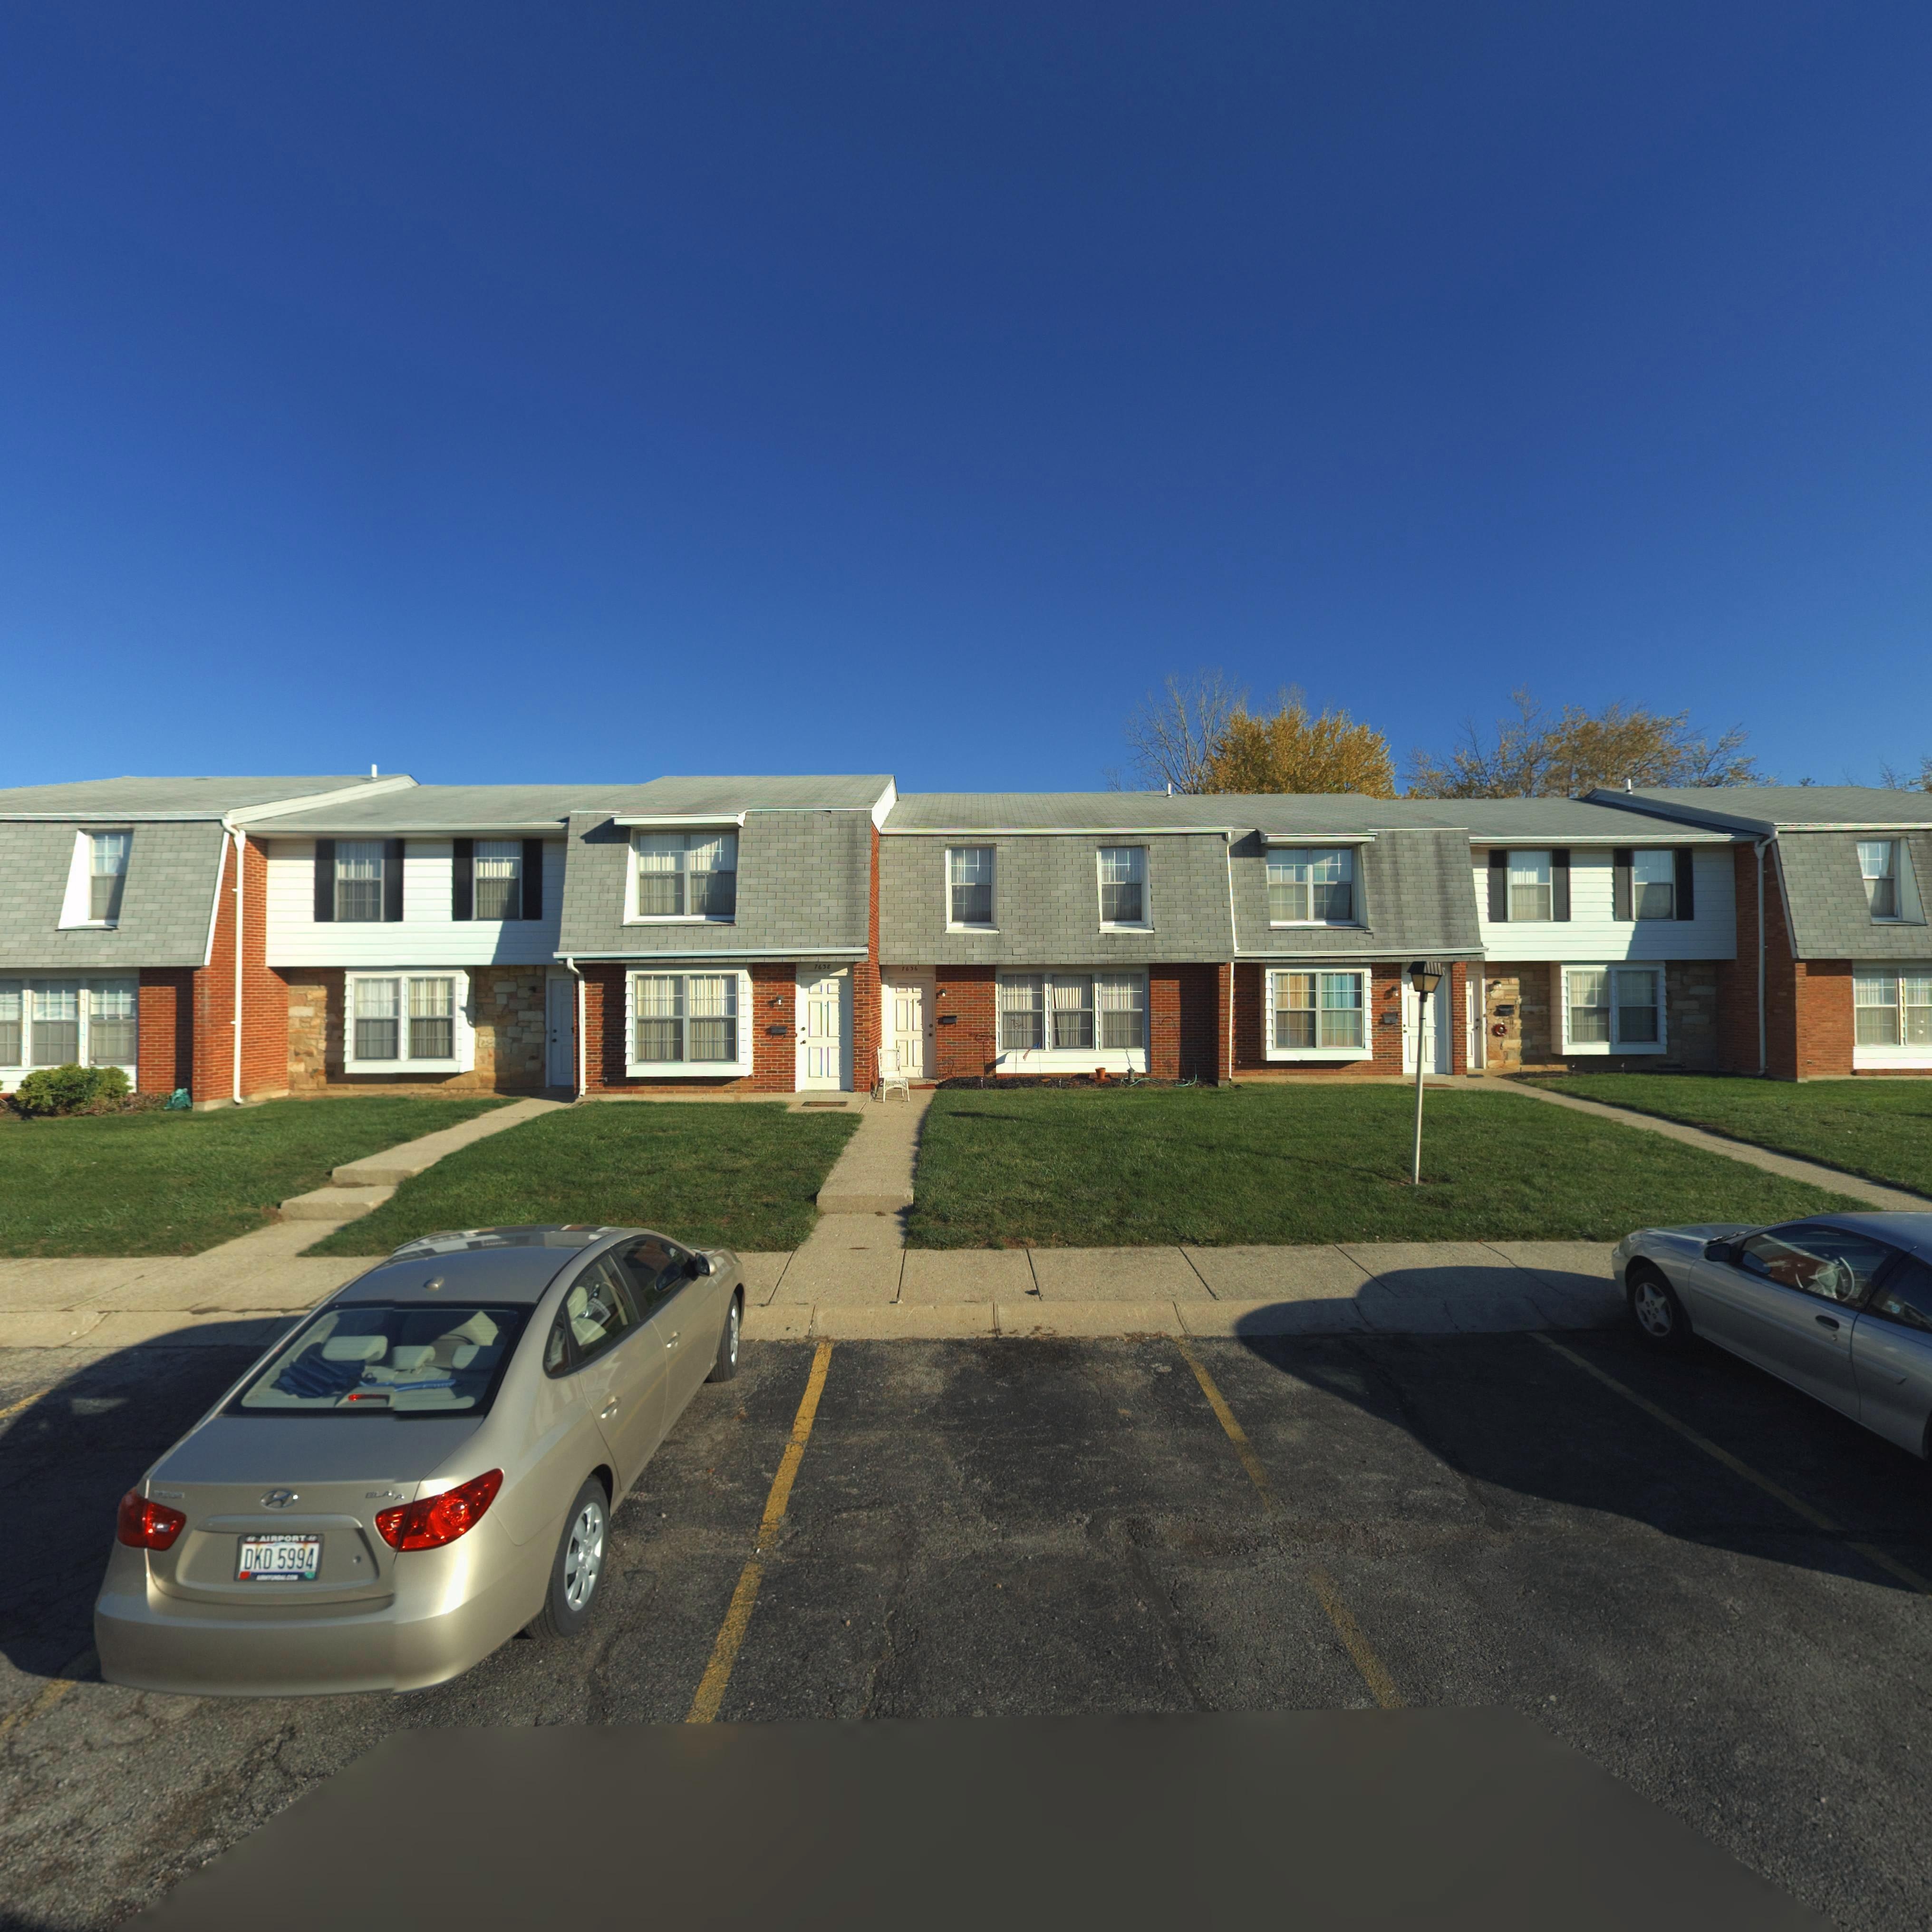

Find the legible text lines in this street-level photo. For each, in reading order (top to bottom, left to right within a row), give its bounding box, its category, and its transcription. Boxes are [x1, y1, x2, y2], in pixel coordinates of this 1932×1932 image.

[562, 967, 568, 973] StreetNumber: 7
[814, 964, 831, 970] StreetNumber: 7638
[901, 966, 918, 971] StreetNumber: 7636